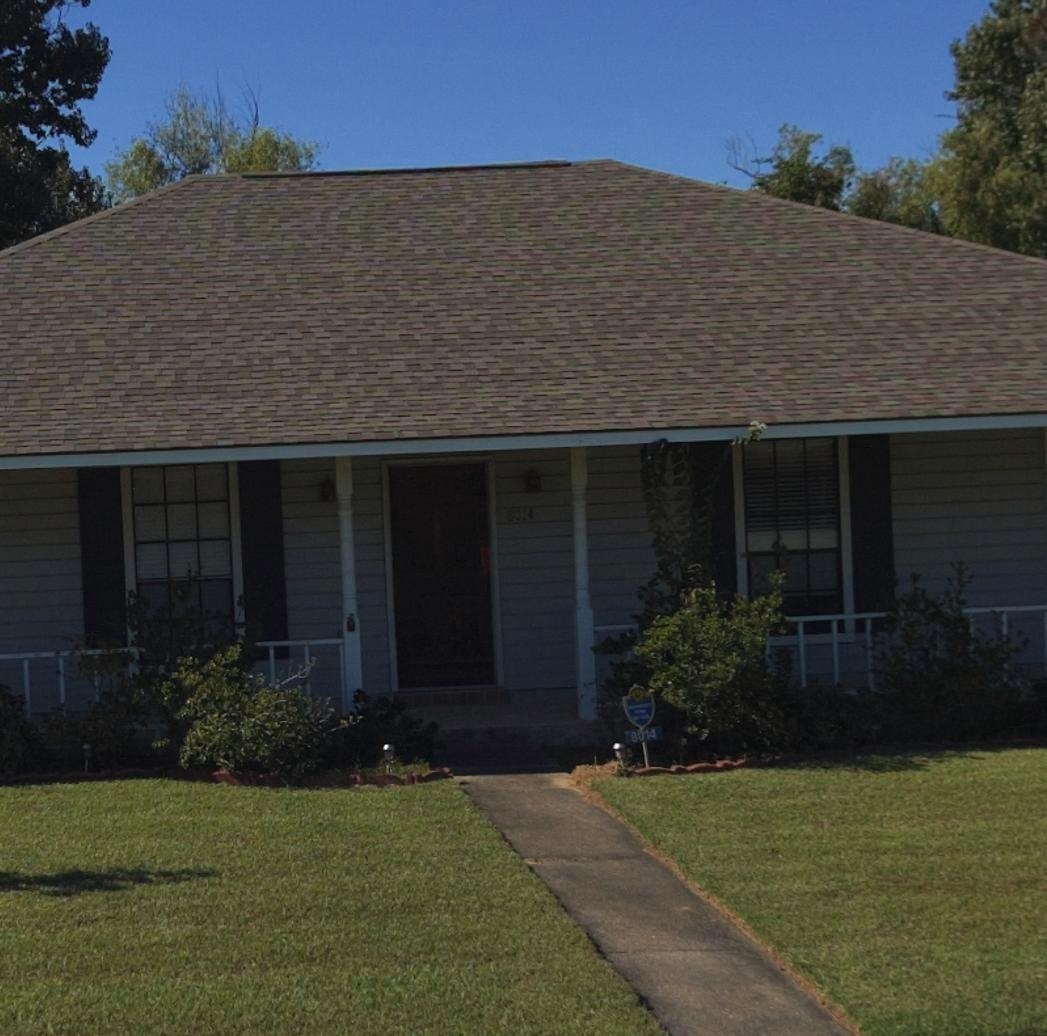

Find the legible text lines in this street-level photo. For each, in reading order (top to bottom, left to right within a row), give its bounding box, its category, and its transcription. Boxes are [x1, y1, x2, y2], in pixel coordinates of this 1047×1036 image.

[505, 509, 535, 522] StreetNumber: 8014
[628, 727, 657, 744] StreetNumber: 8014